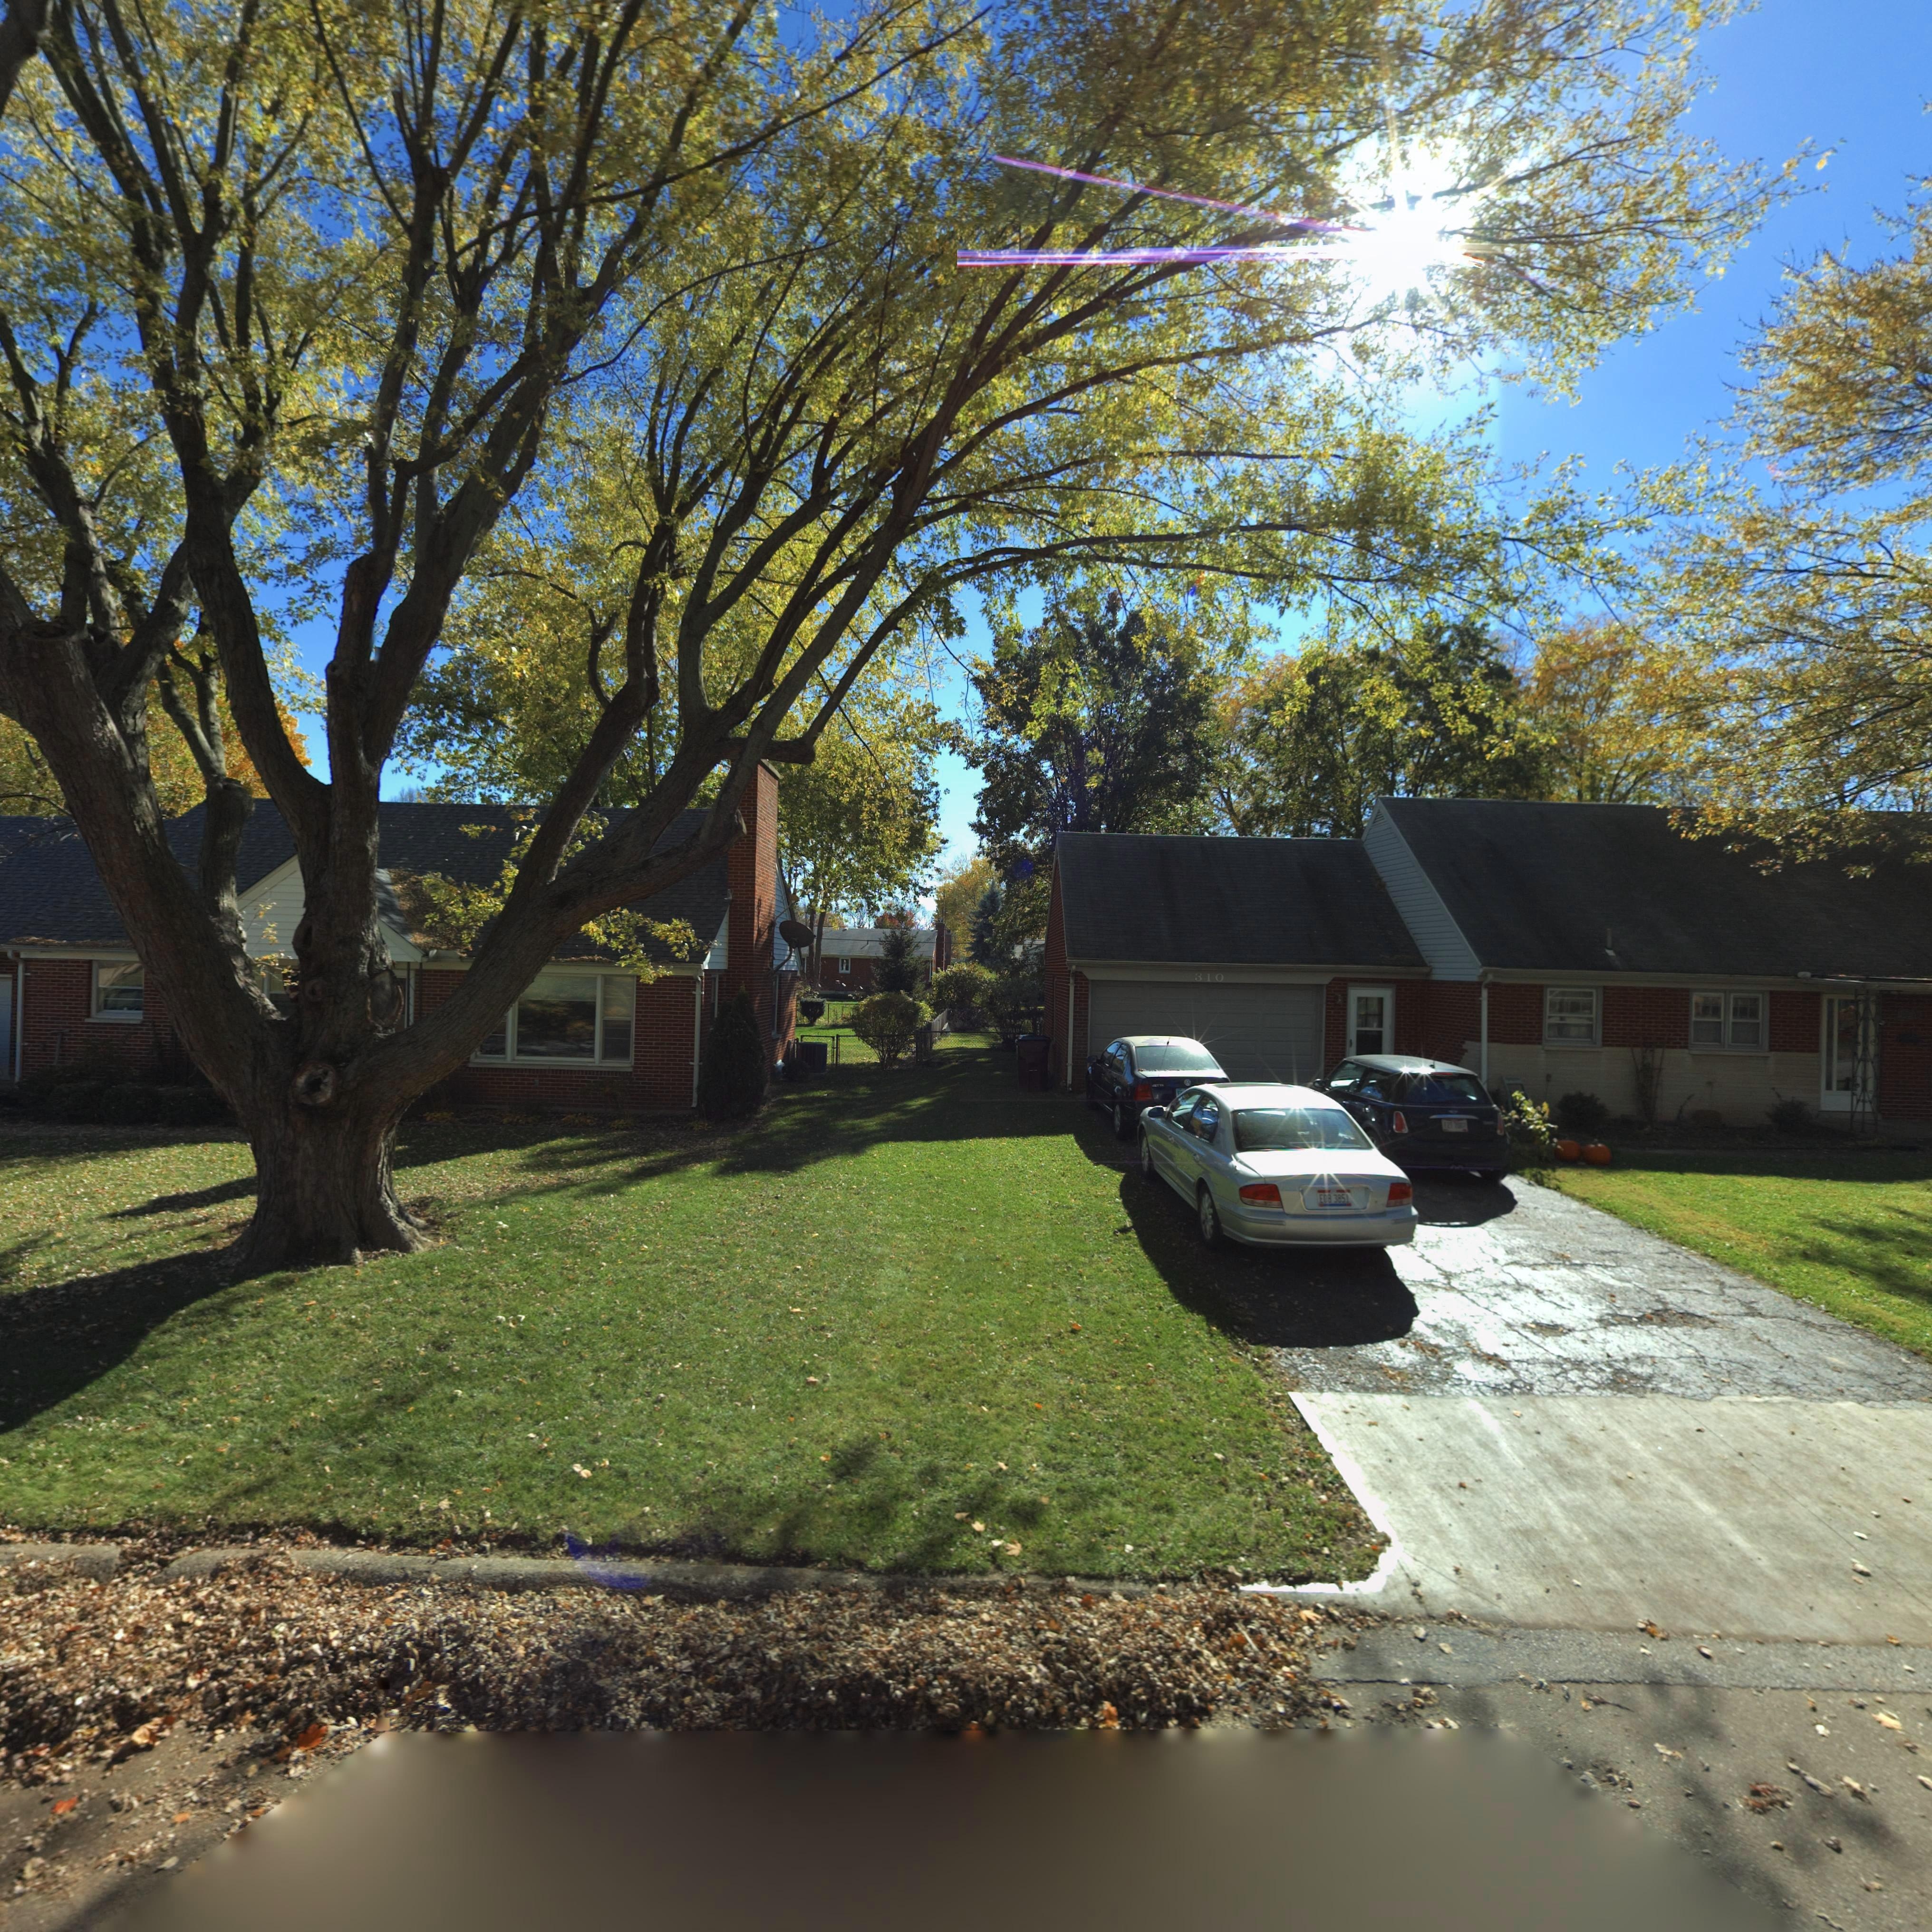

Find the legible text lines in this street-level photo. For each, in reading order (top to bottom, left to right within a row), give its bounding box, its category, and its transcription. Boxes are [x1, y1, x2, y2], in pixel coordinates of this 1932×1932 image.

[1194, 971, 1225, 983] StreetNumber: 310